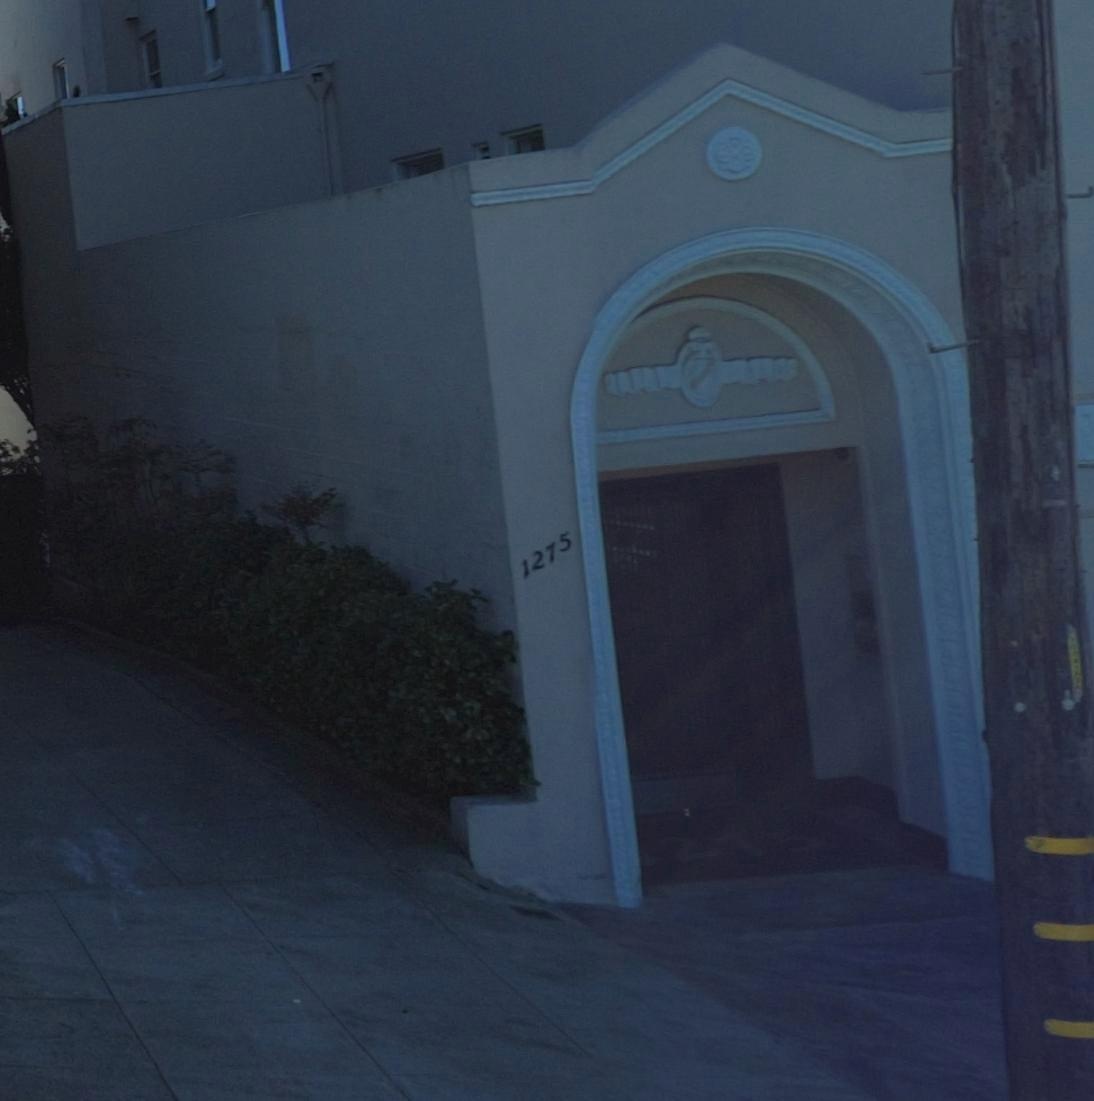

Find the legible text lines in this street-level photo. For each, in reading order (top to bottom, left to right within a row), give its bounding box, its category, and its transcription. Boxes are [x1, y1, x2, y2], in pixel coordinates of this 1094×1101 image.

[519, 527, 575, 585] StreetNumber: 1575